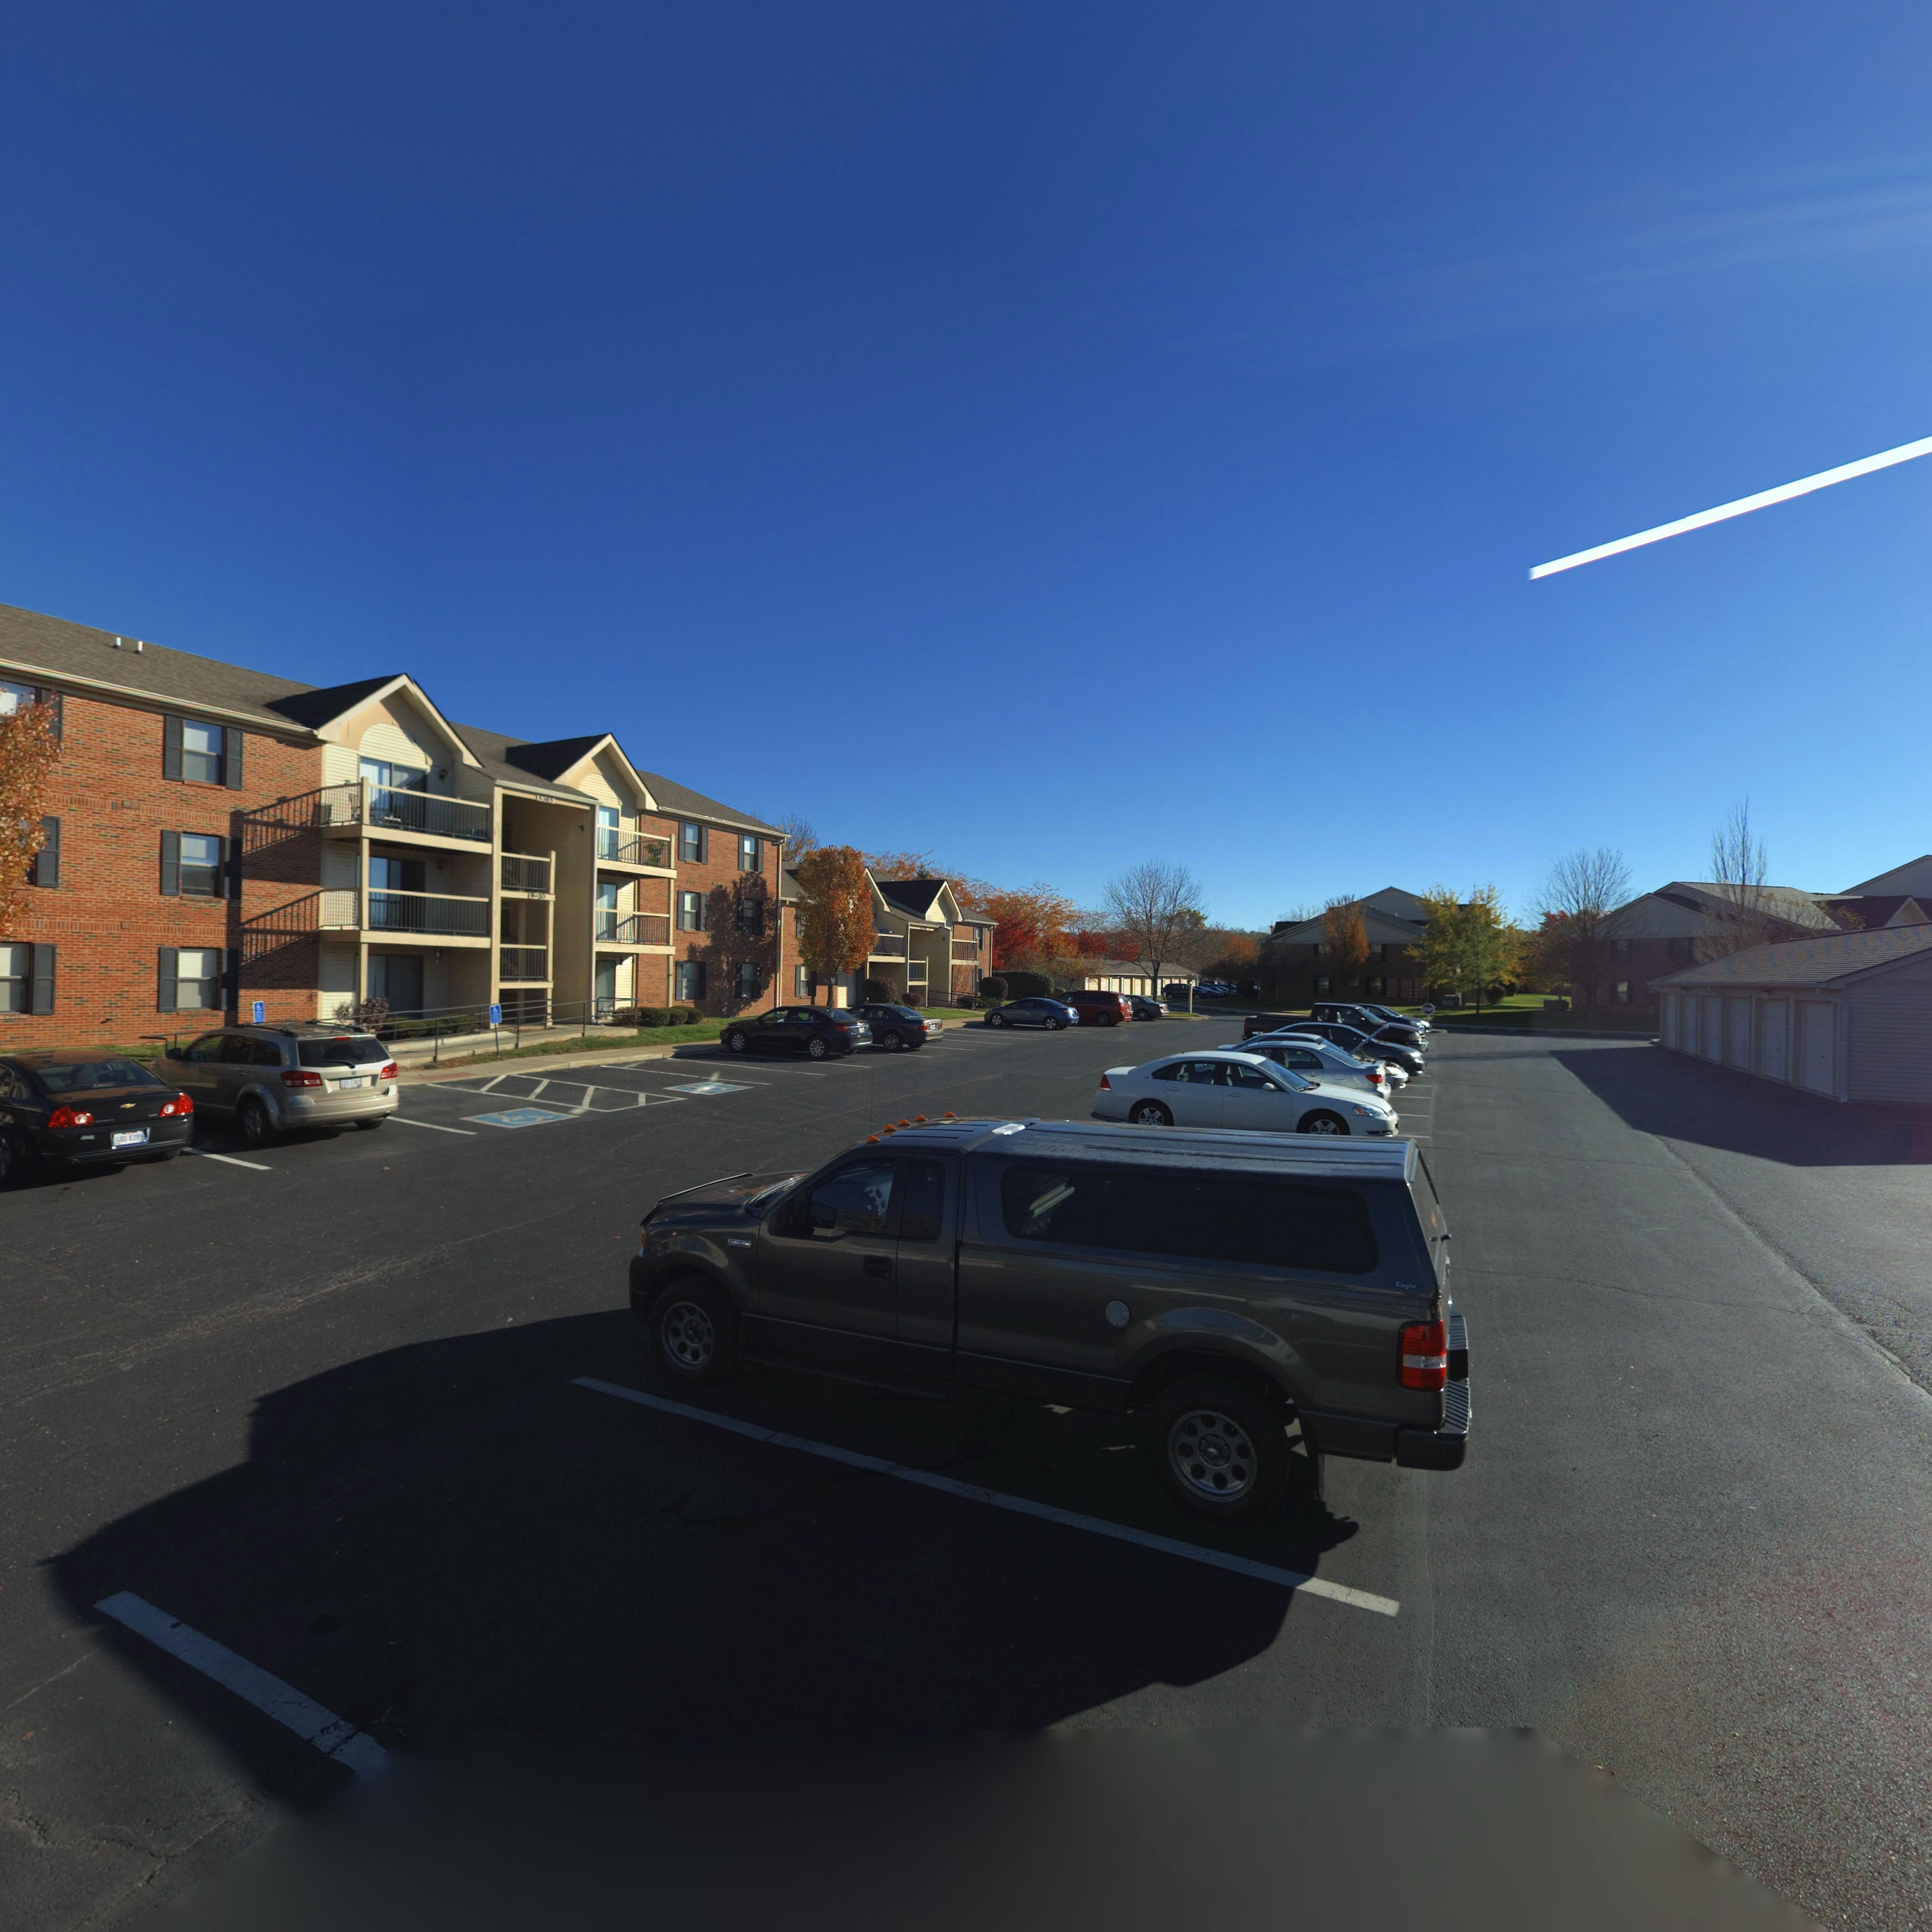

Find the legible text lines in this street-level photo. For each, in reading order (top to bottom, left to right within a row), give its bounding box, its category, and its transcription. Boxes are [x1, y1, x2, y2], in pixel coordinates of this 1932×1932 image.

[538, 794, 554, 803] StreetNumber: 5385
[529, 892, 545, 900] StreetNumber: 9-20